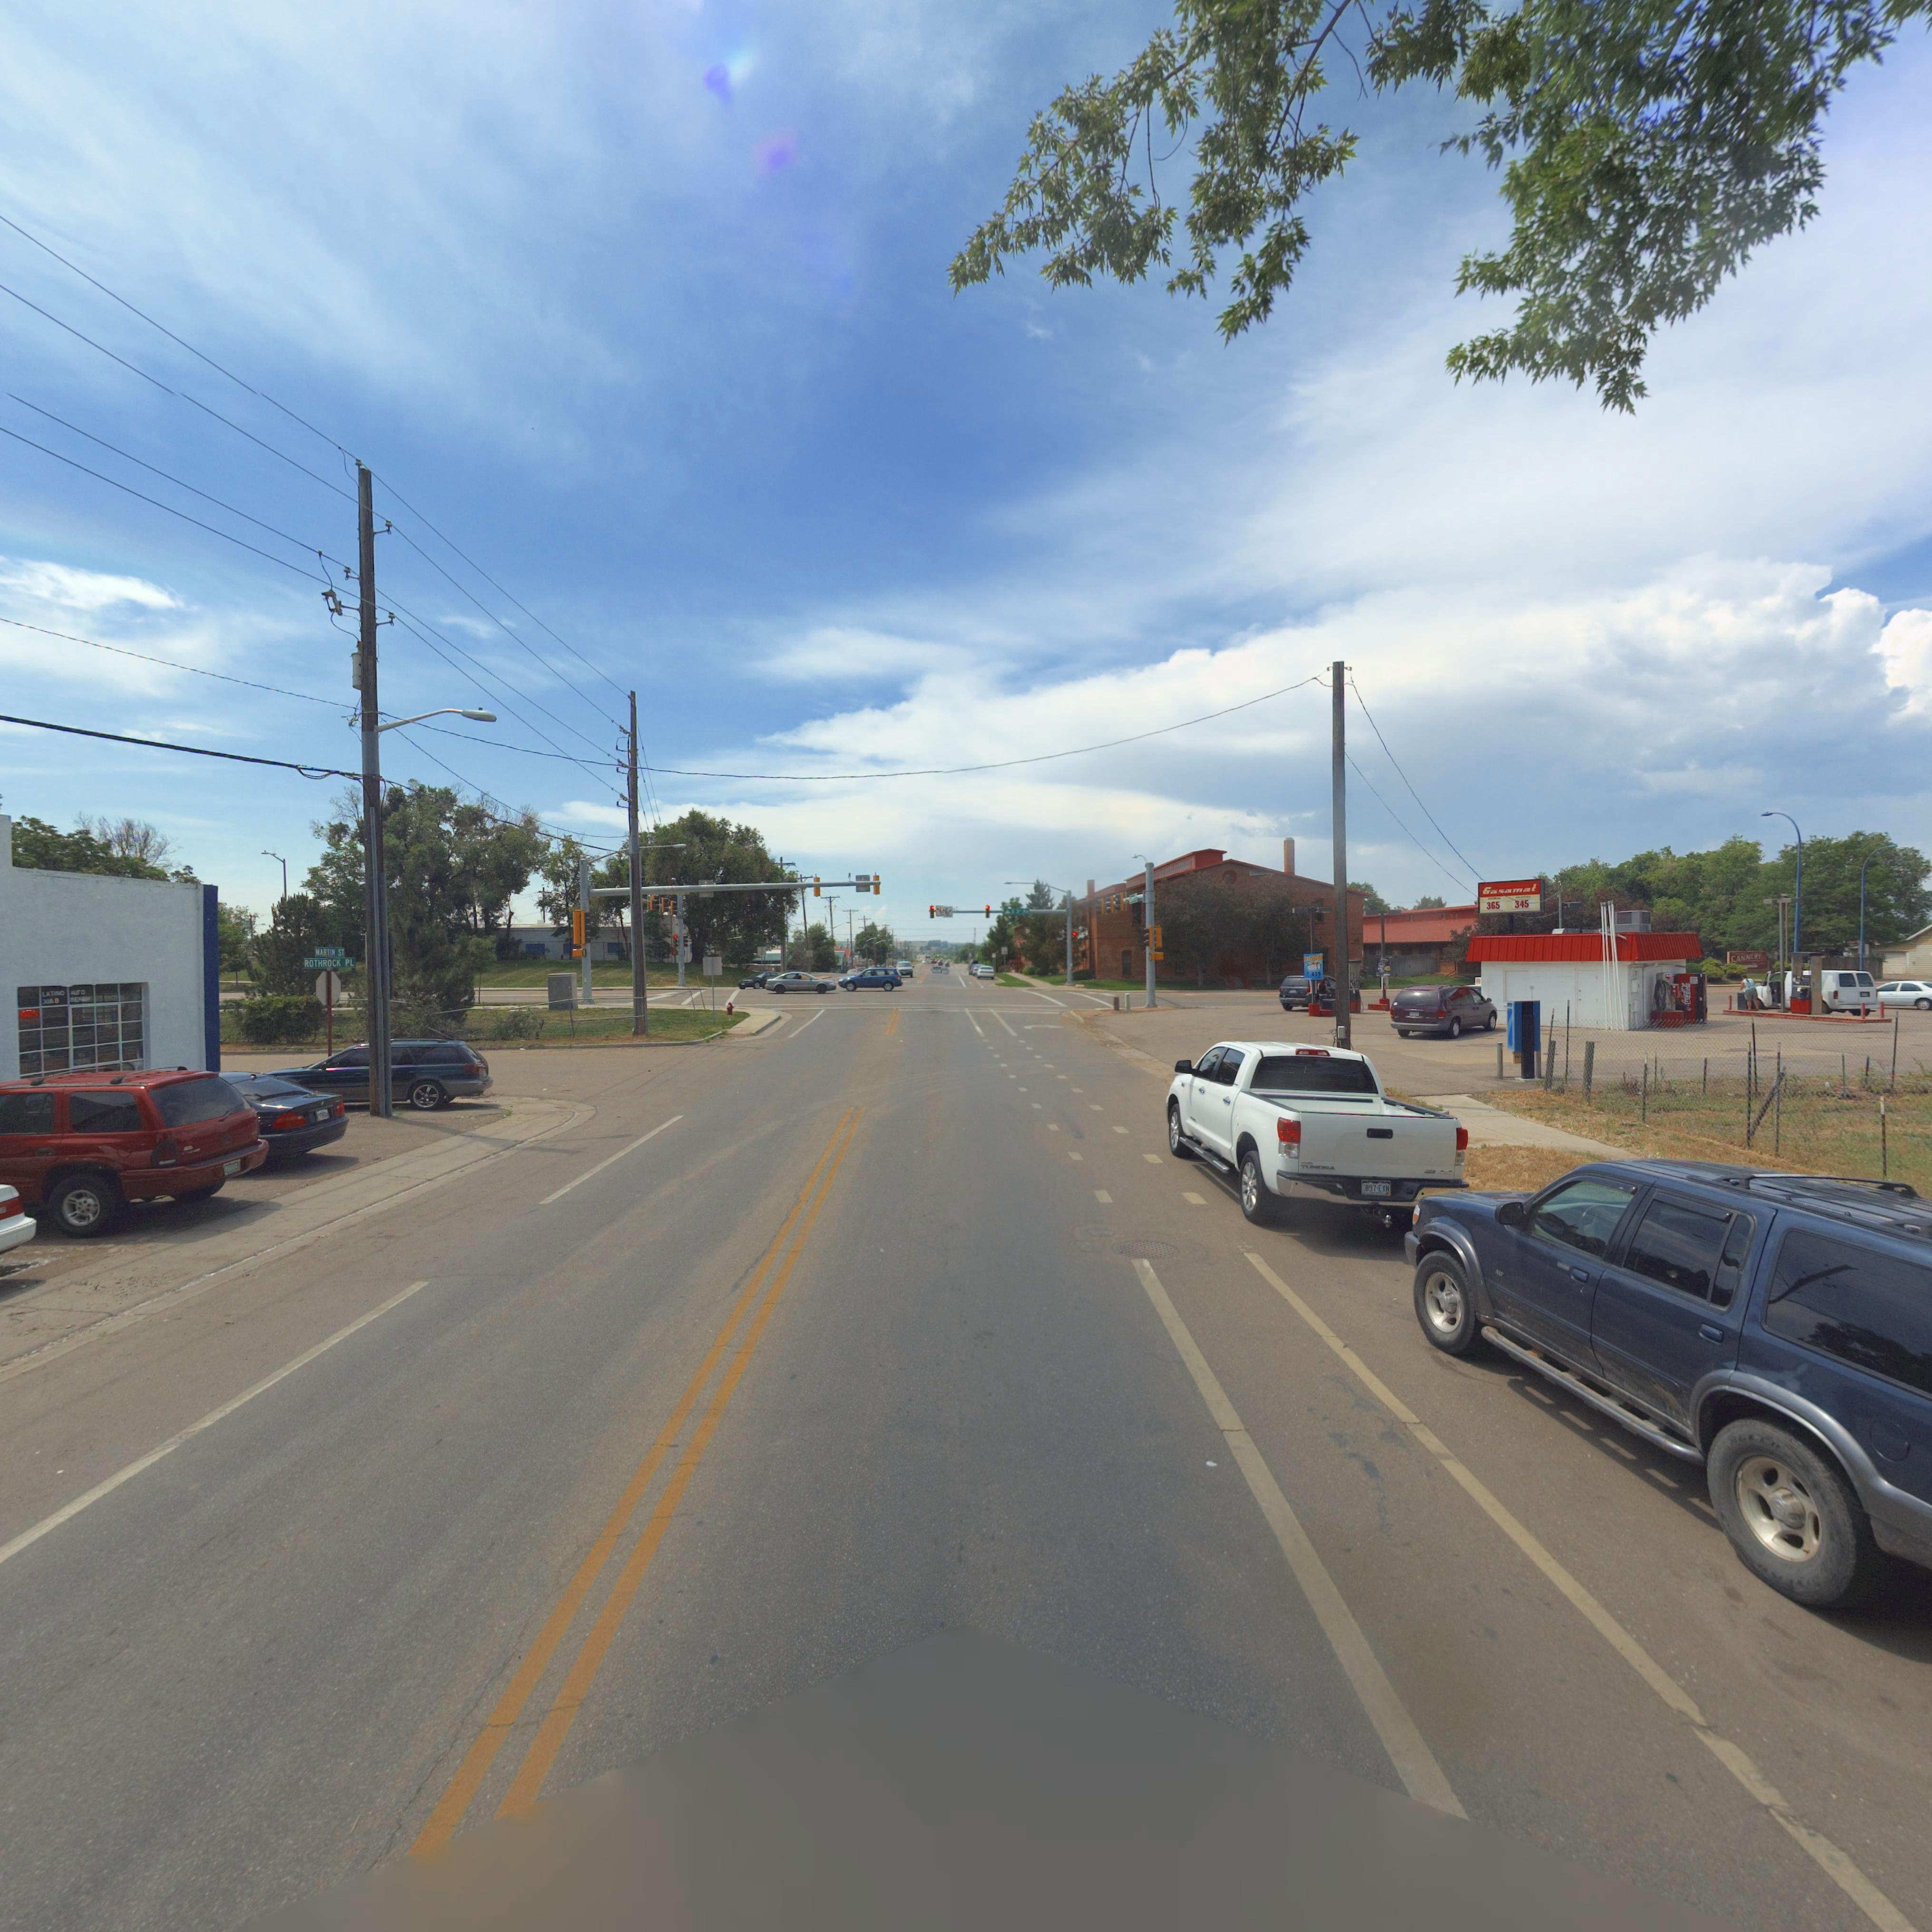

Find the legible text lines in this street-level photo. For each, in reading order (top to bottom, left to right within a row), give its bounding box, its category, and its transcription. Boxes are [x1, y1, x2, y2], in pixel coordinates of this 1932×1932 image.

[1482, 883, 1537, 895] BusinessName: Gasamat
[314, 948, 345, 956] StreetName: MARTIN ST
[304, 958, 355, 968] StreetName: ROCKROCK PL
[1729, 952, 1762, 964] BusinessName: CANNERY